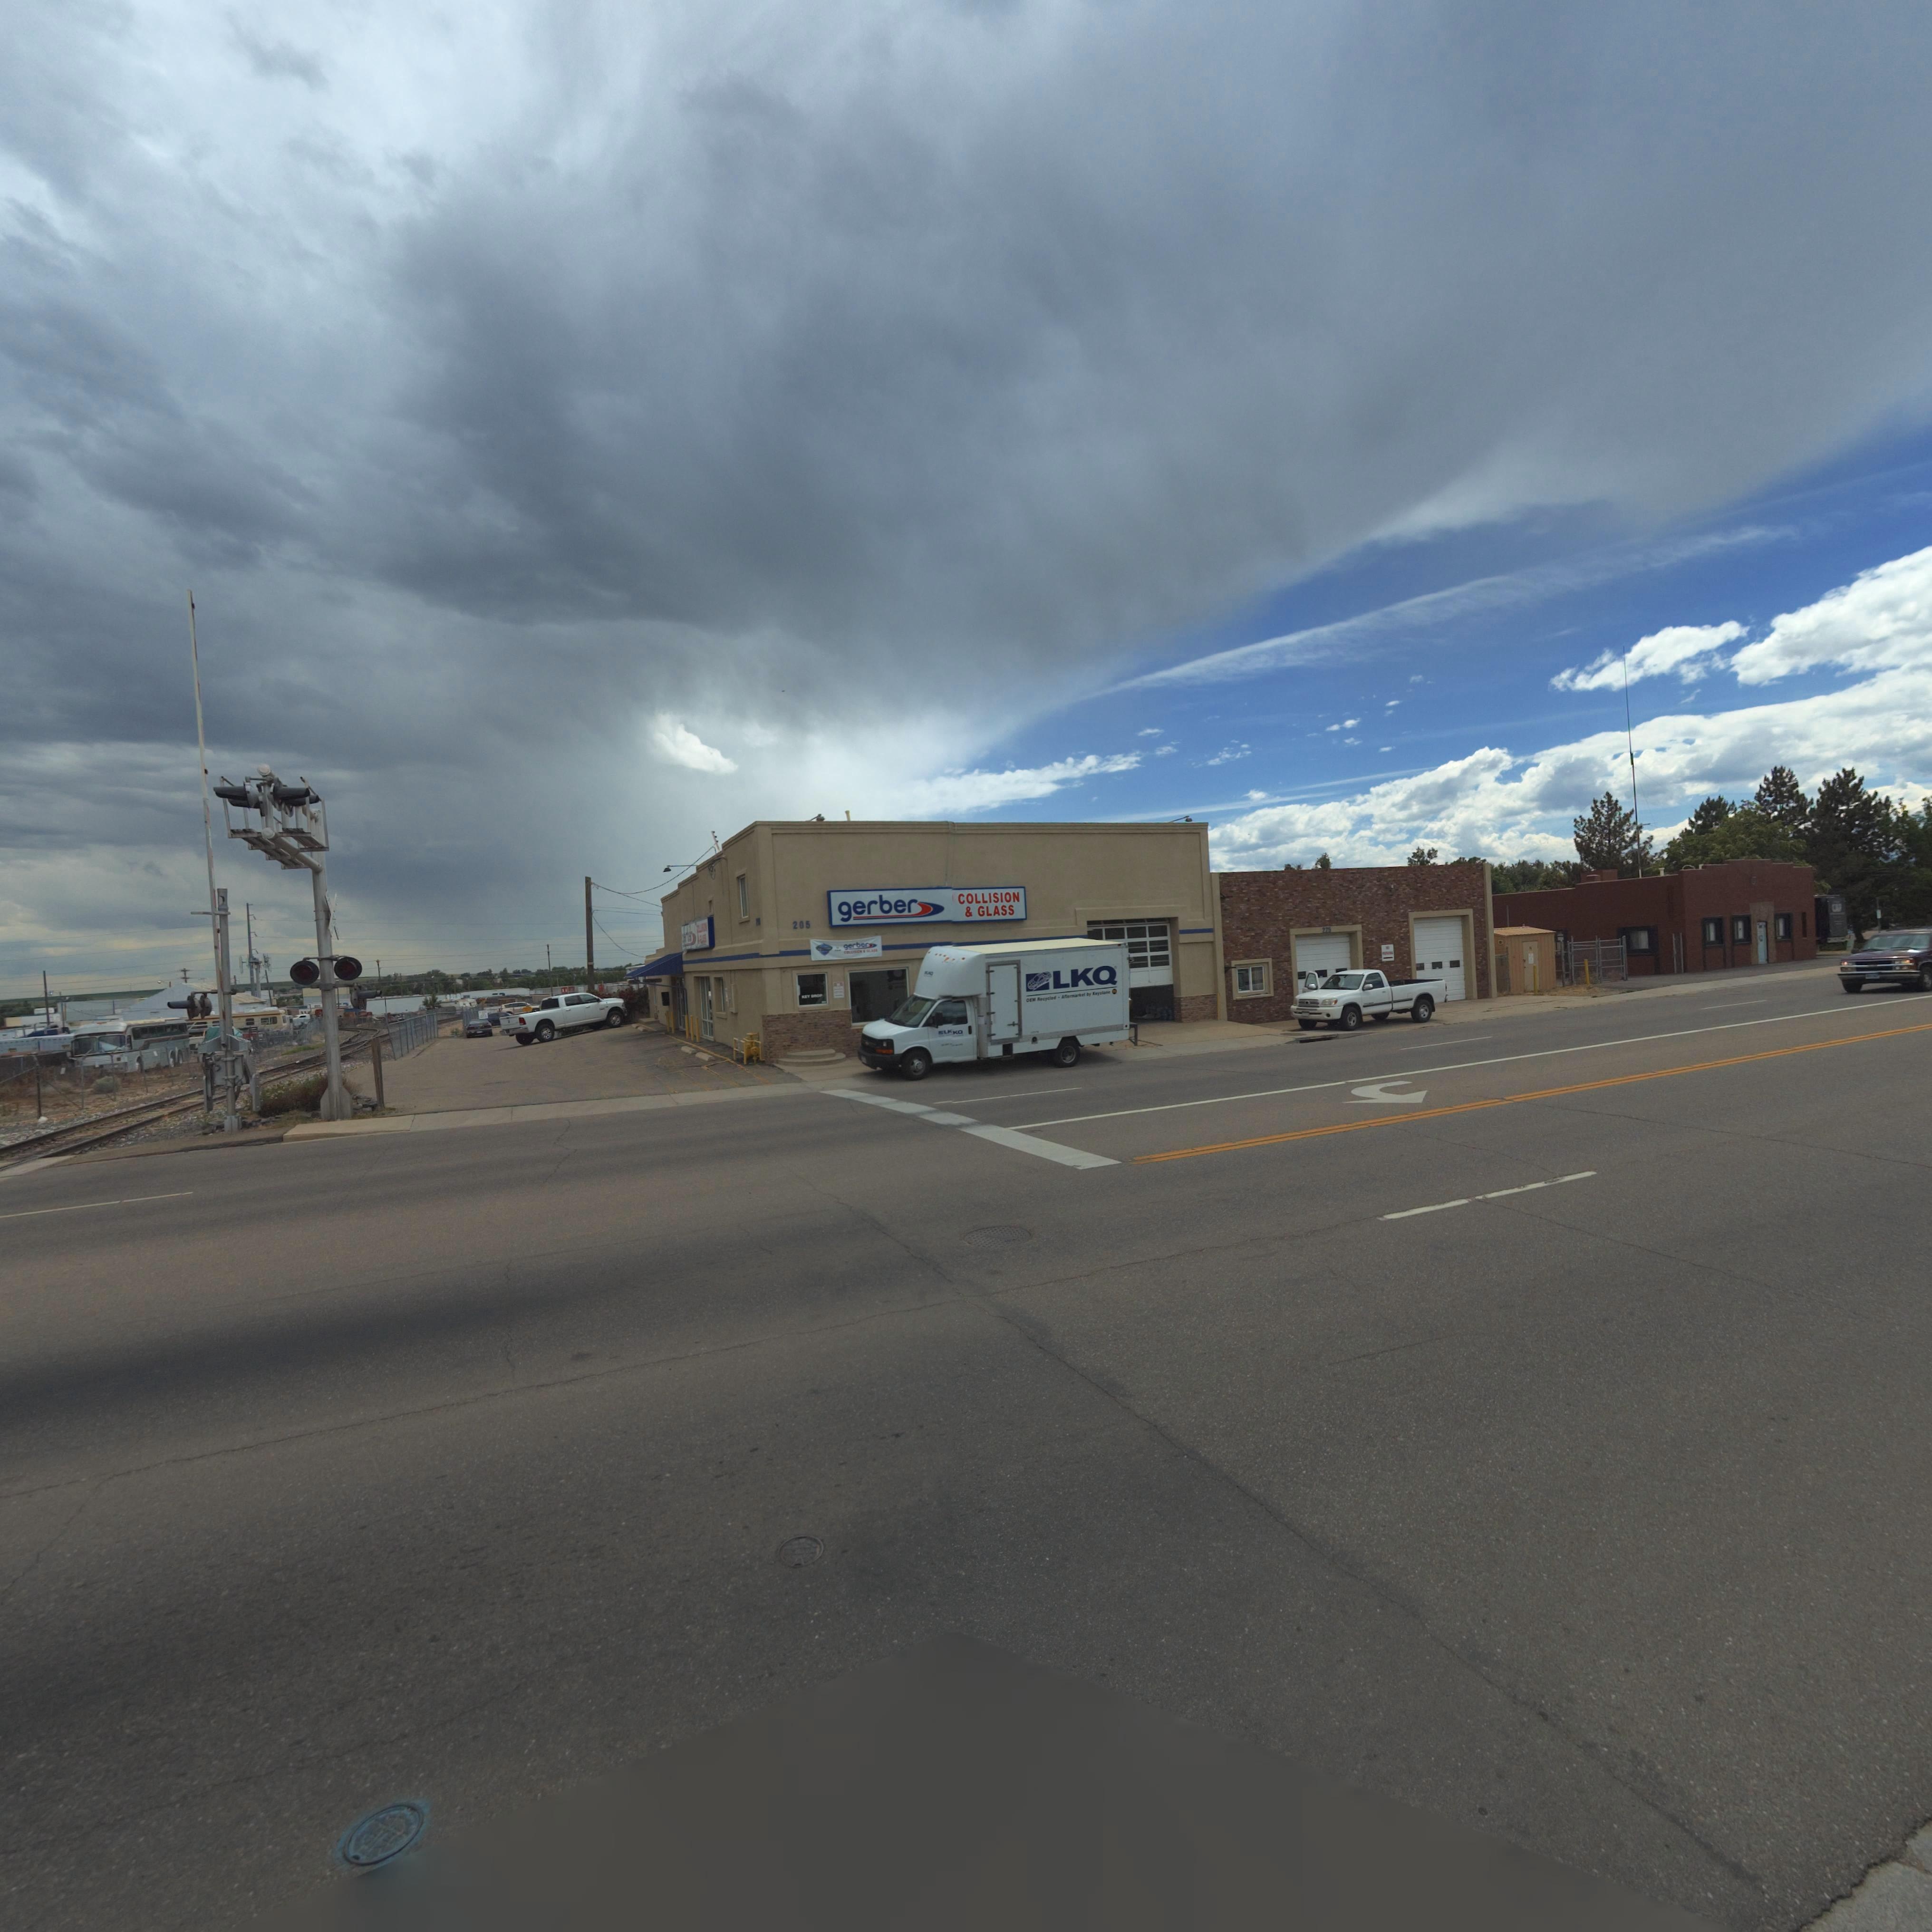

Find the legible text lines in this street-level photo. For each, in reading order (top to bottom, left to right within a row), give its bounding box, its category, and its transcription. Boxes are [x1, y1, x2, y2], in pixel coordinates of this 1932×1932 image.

[957, 890, 1020, 904] BusinessName: COLLISION
[837, 893, 918, 923] BusinessName: gerber
[964, 903, 1014, 918] BusinessName: * GLASS
[755, 917, 761, 926] StreetNumber: 2*5
[792, 920, 810, 929] StreetNumber: 205
[1322, 926, 1331, 933] StreetNumber: 225
[843, 941, 869, 950] BusinessName: gerber
[843, 947, 878, 954] StreetNumber: COLLISION * GLASS